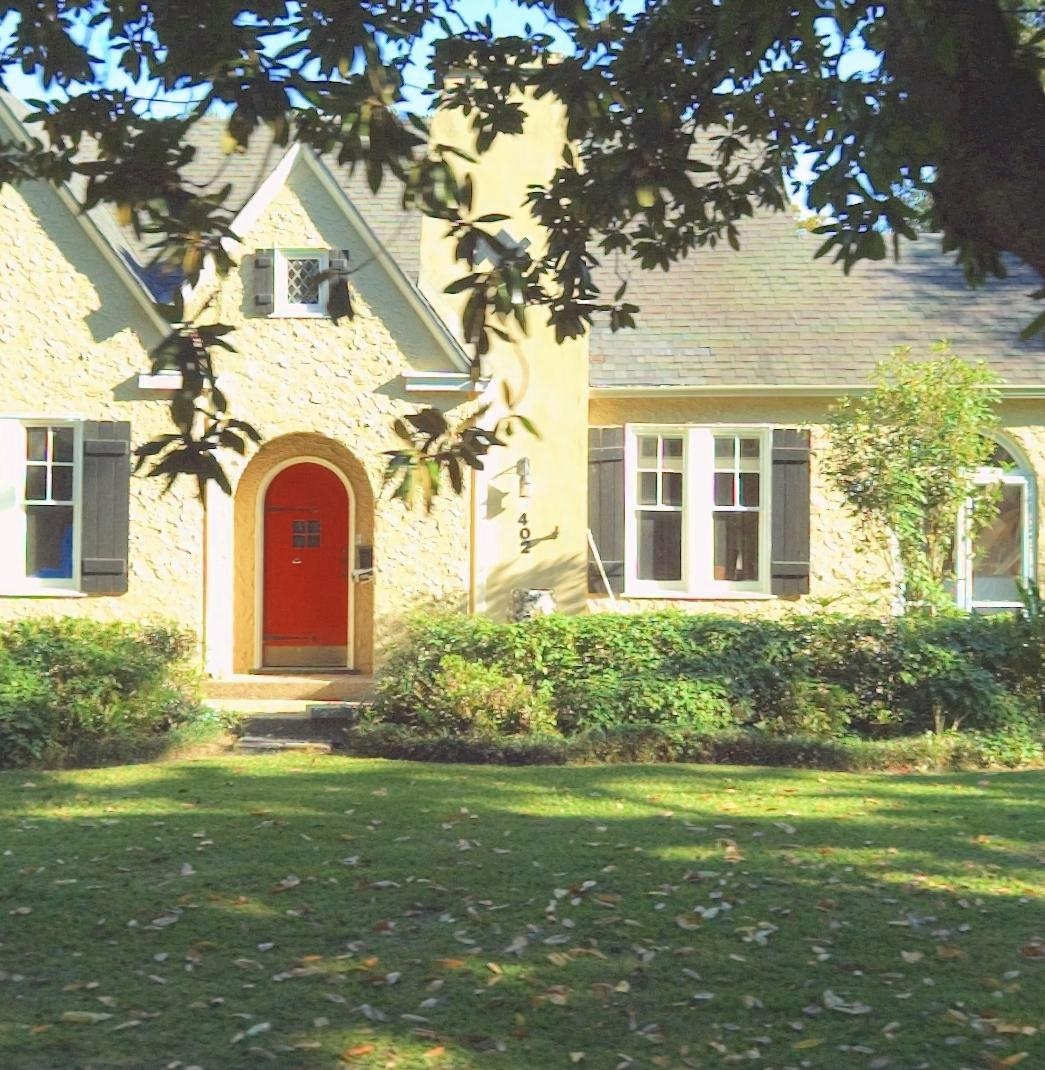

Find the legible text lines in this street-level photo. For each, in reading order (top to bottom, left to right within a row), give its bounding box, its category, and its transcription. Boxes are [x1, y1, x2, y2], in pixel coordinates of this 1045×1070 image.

[515, 509, 533, 556] StreetNumber: 402